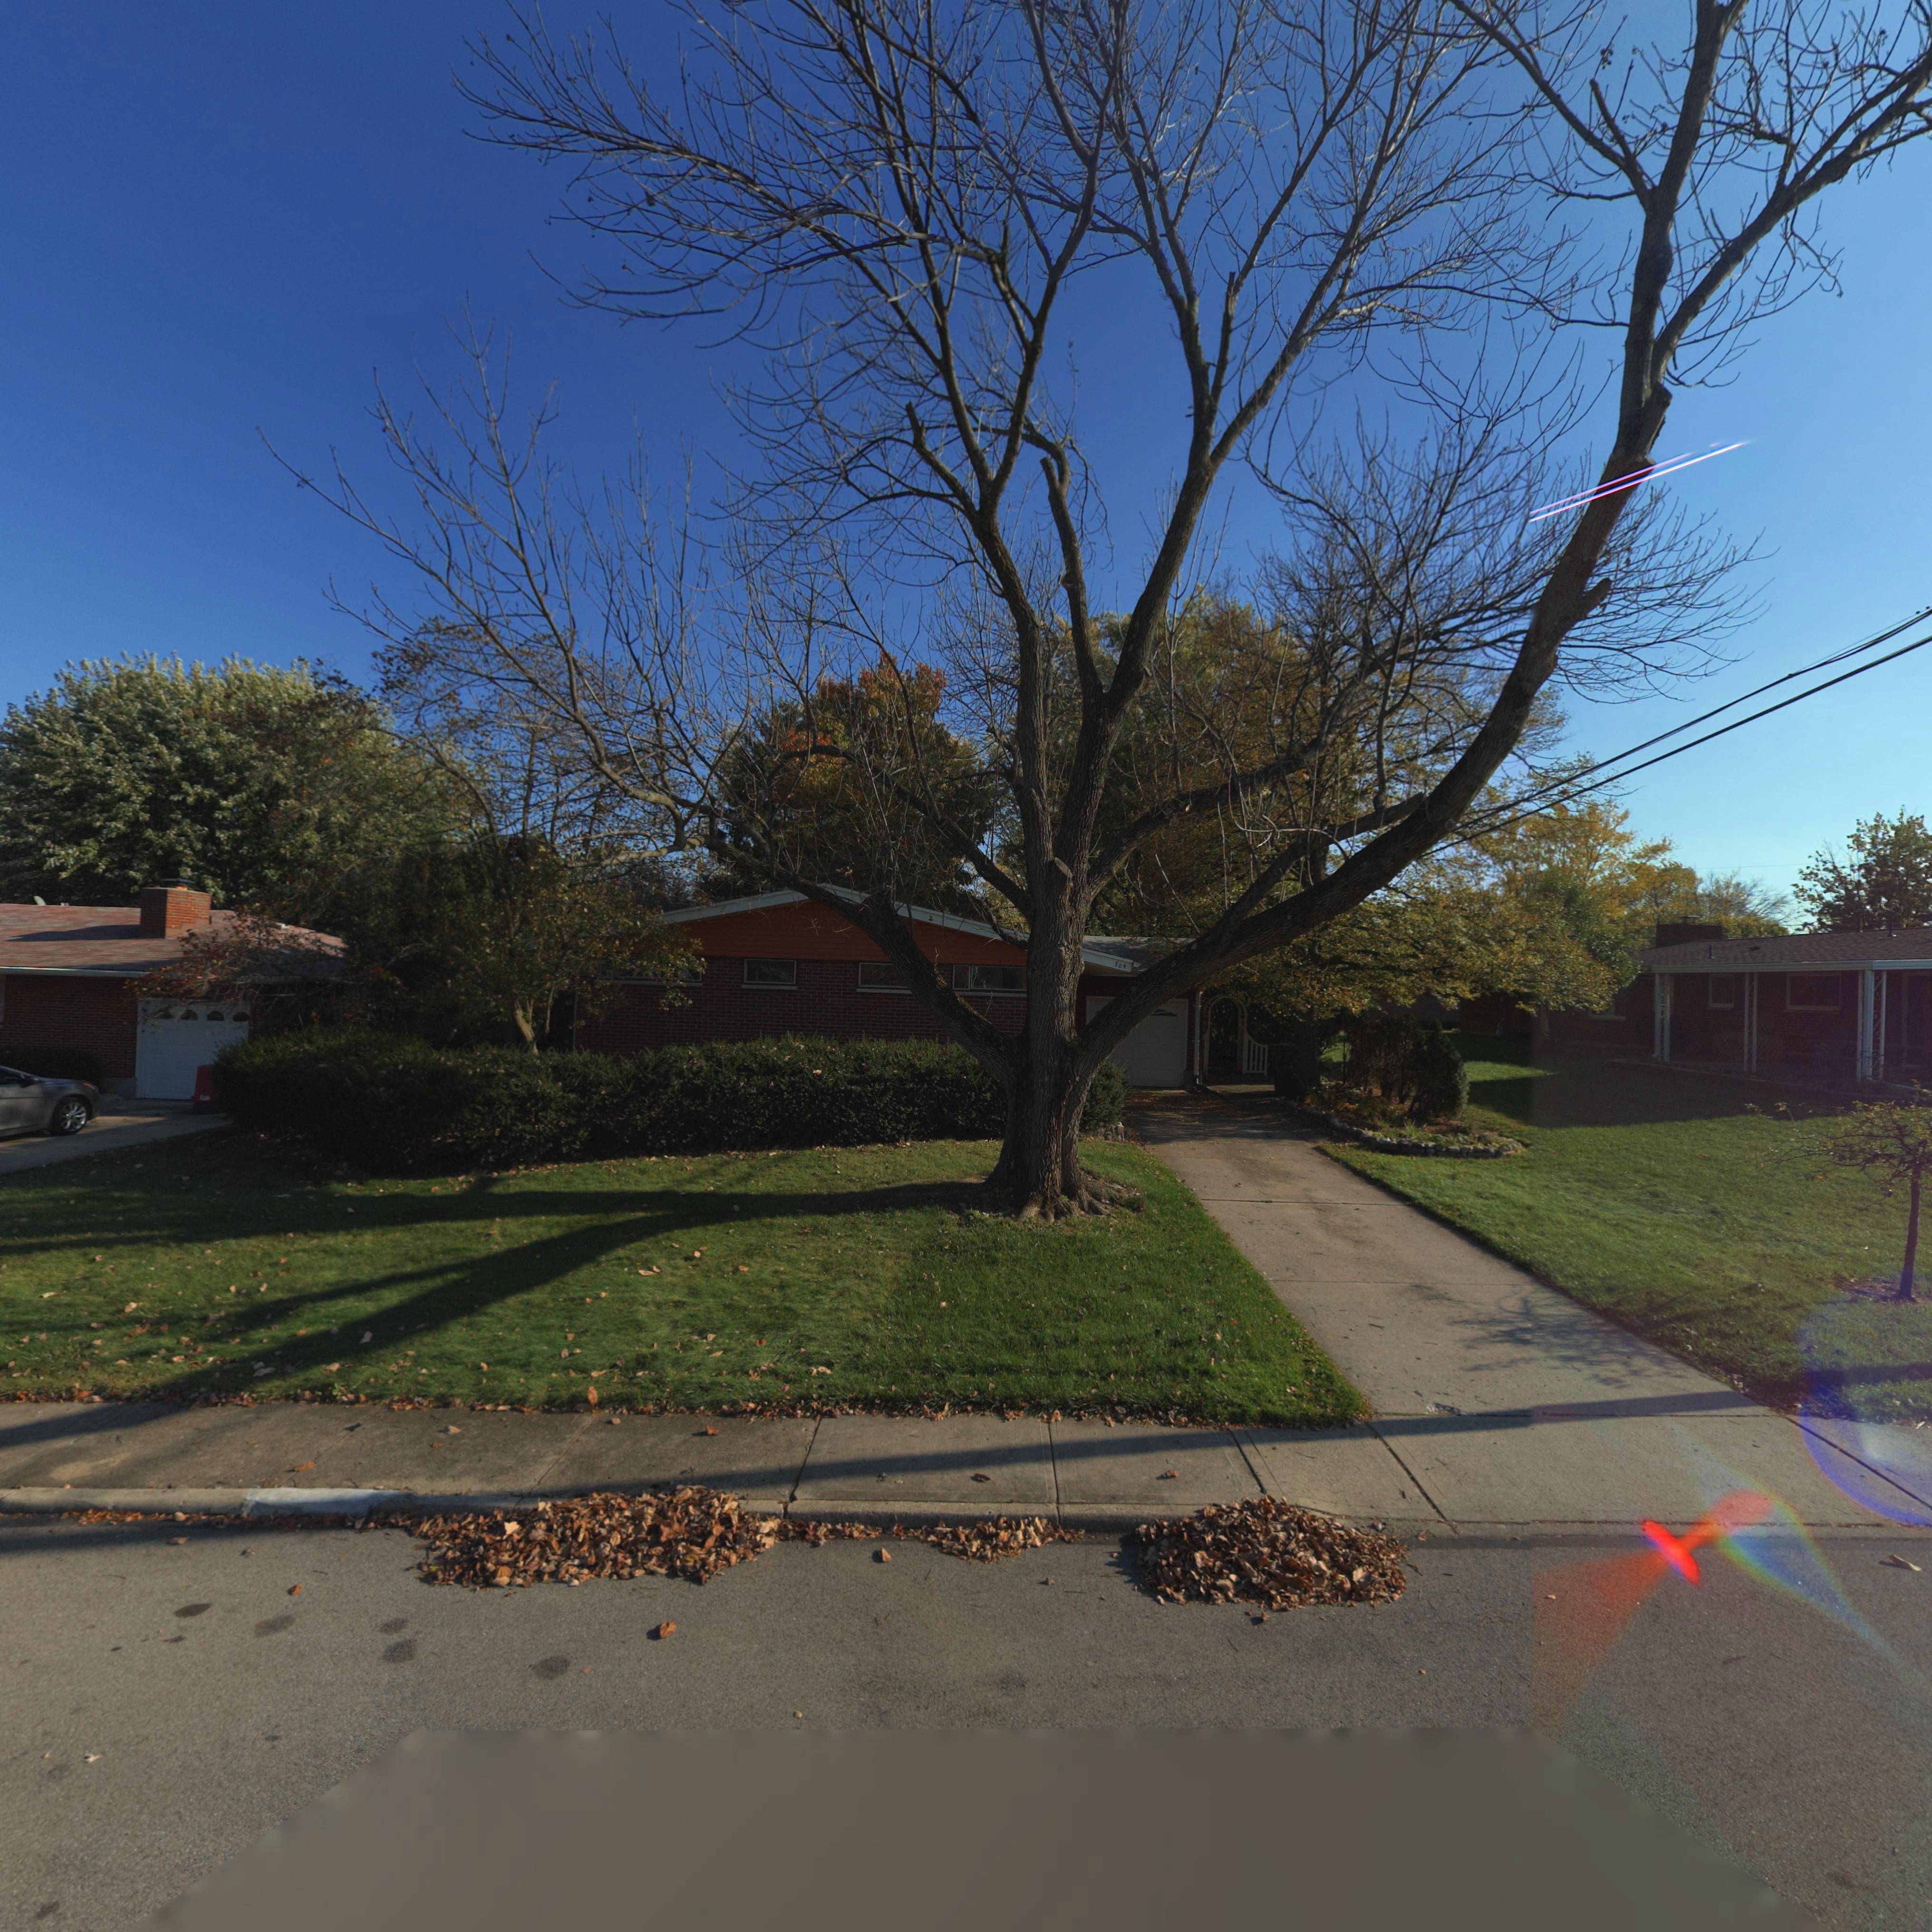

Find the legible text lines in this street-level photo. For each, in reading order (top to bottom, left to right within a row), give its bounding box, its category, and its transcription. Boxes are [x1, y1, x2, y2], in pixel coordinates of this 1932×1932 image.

[1114, 961, 1128, 970] StreetNumber: 704